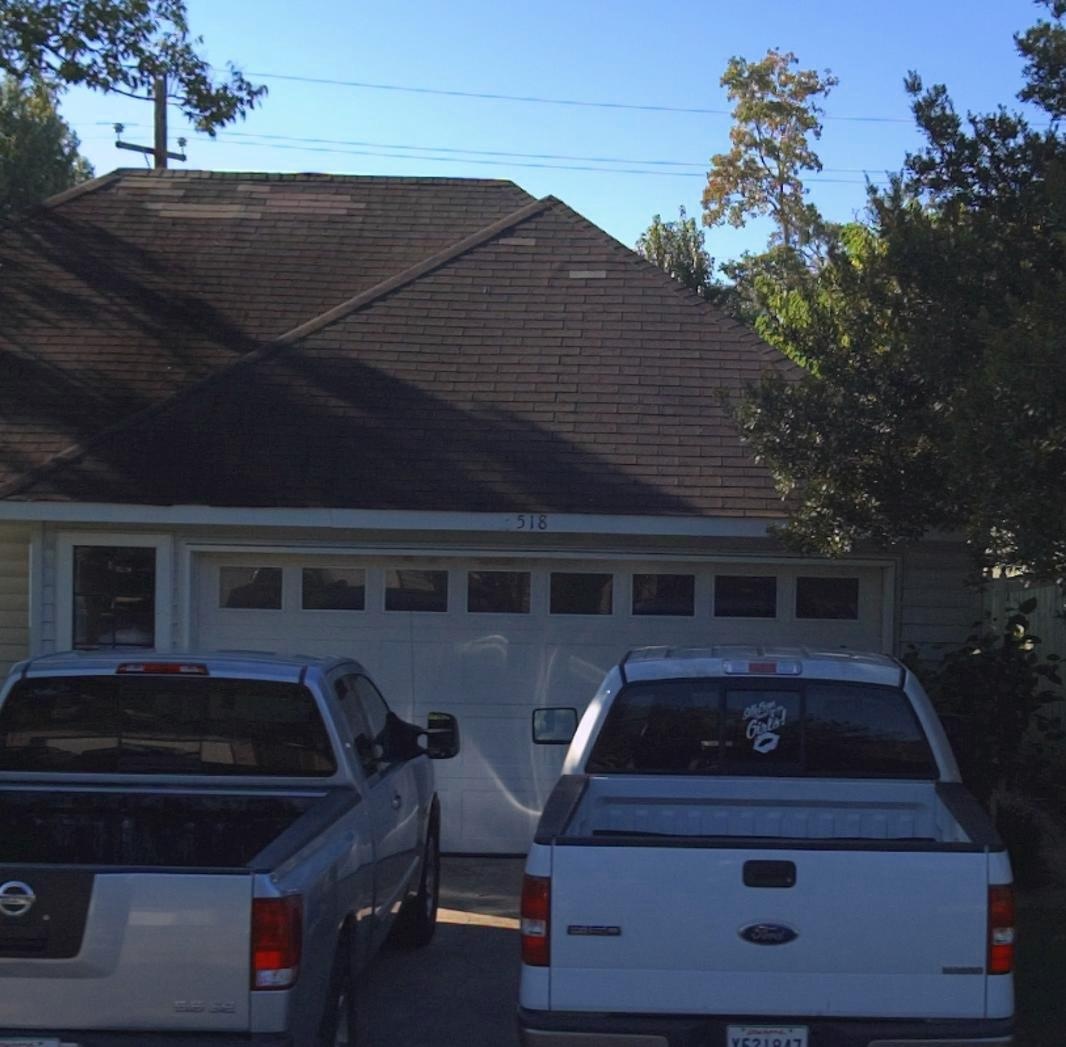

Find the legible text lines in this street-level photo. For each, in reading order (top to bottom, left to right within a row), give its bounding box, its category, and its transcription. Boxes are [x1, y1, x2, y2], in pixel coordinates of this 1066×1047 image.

[515, 514, 548, 531] StreetNumber: 518